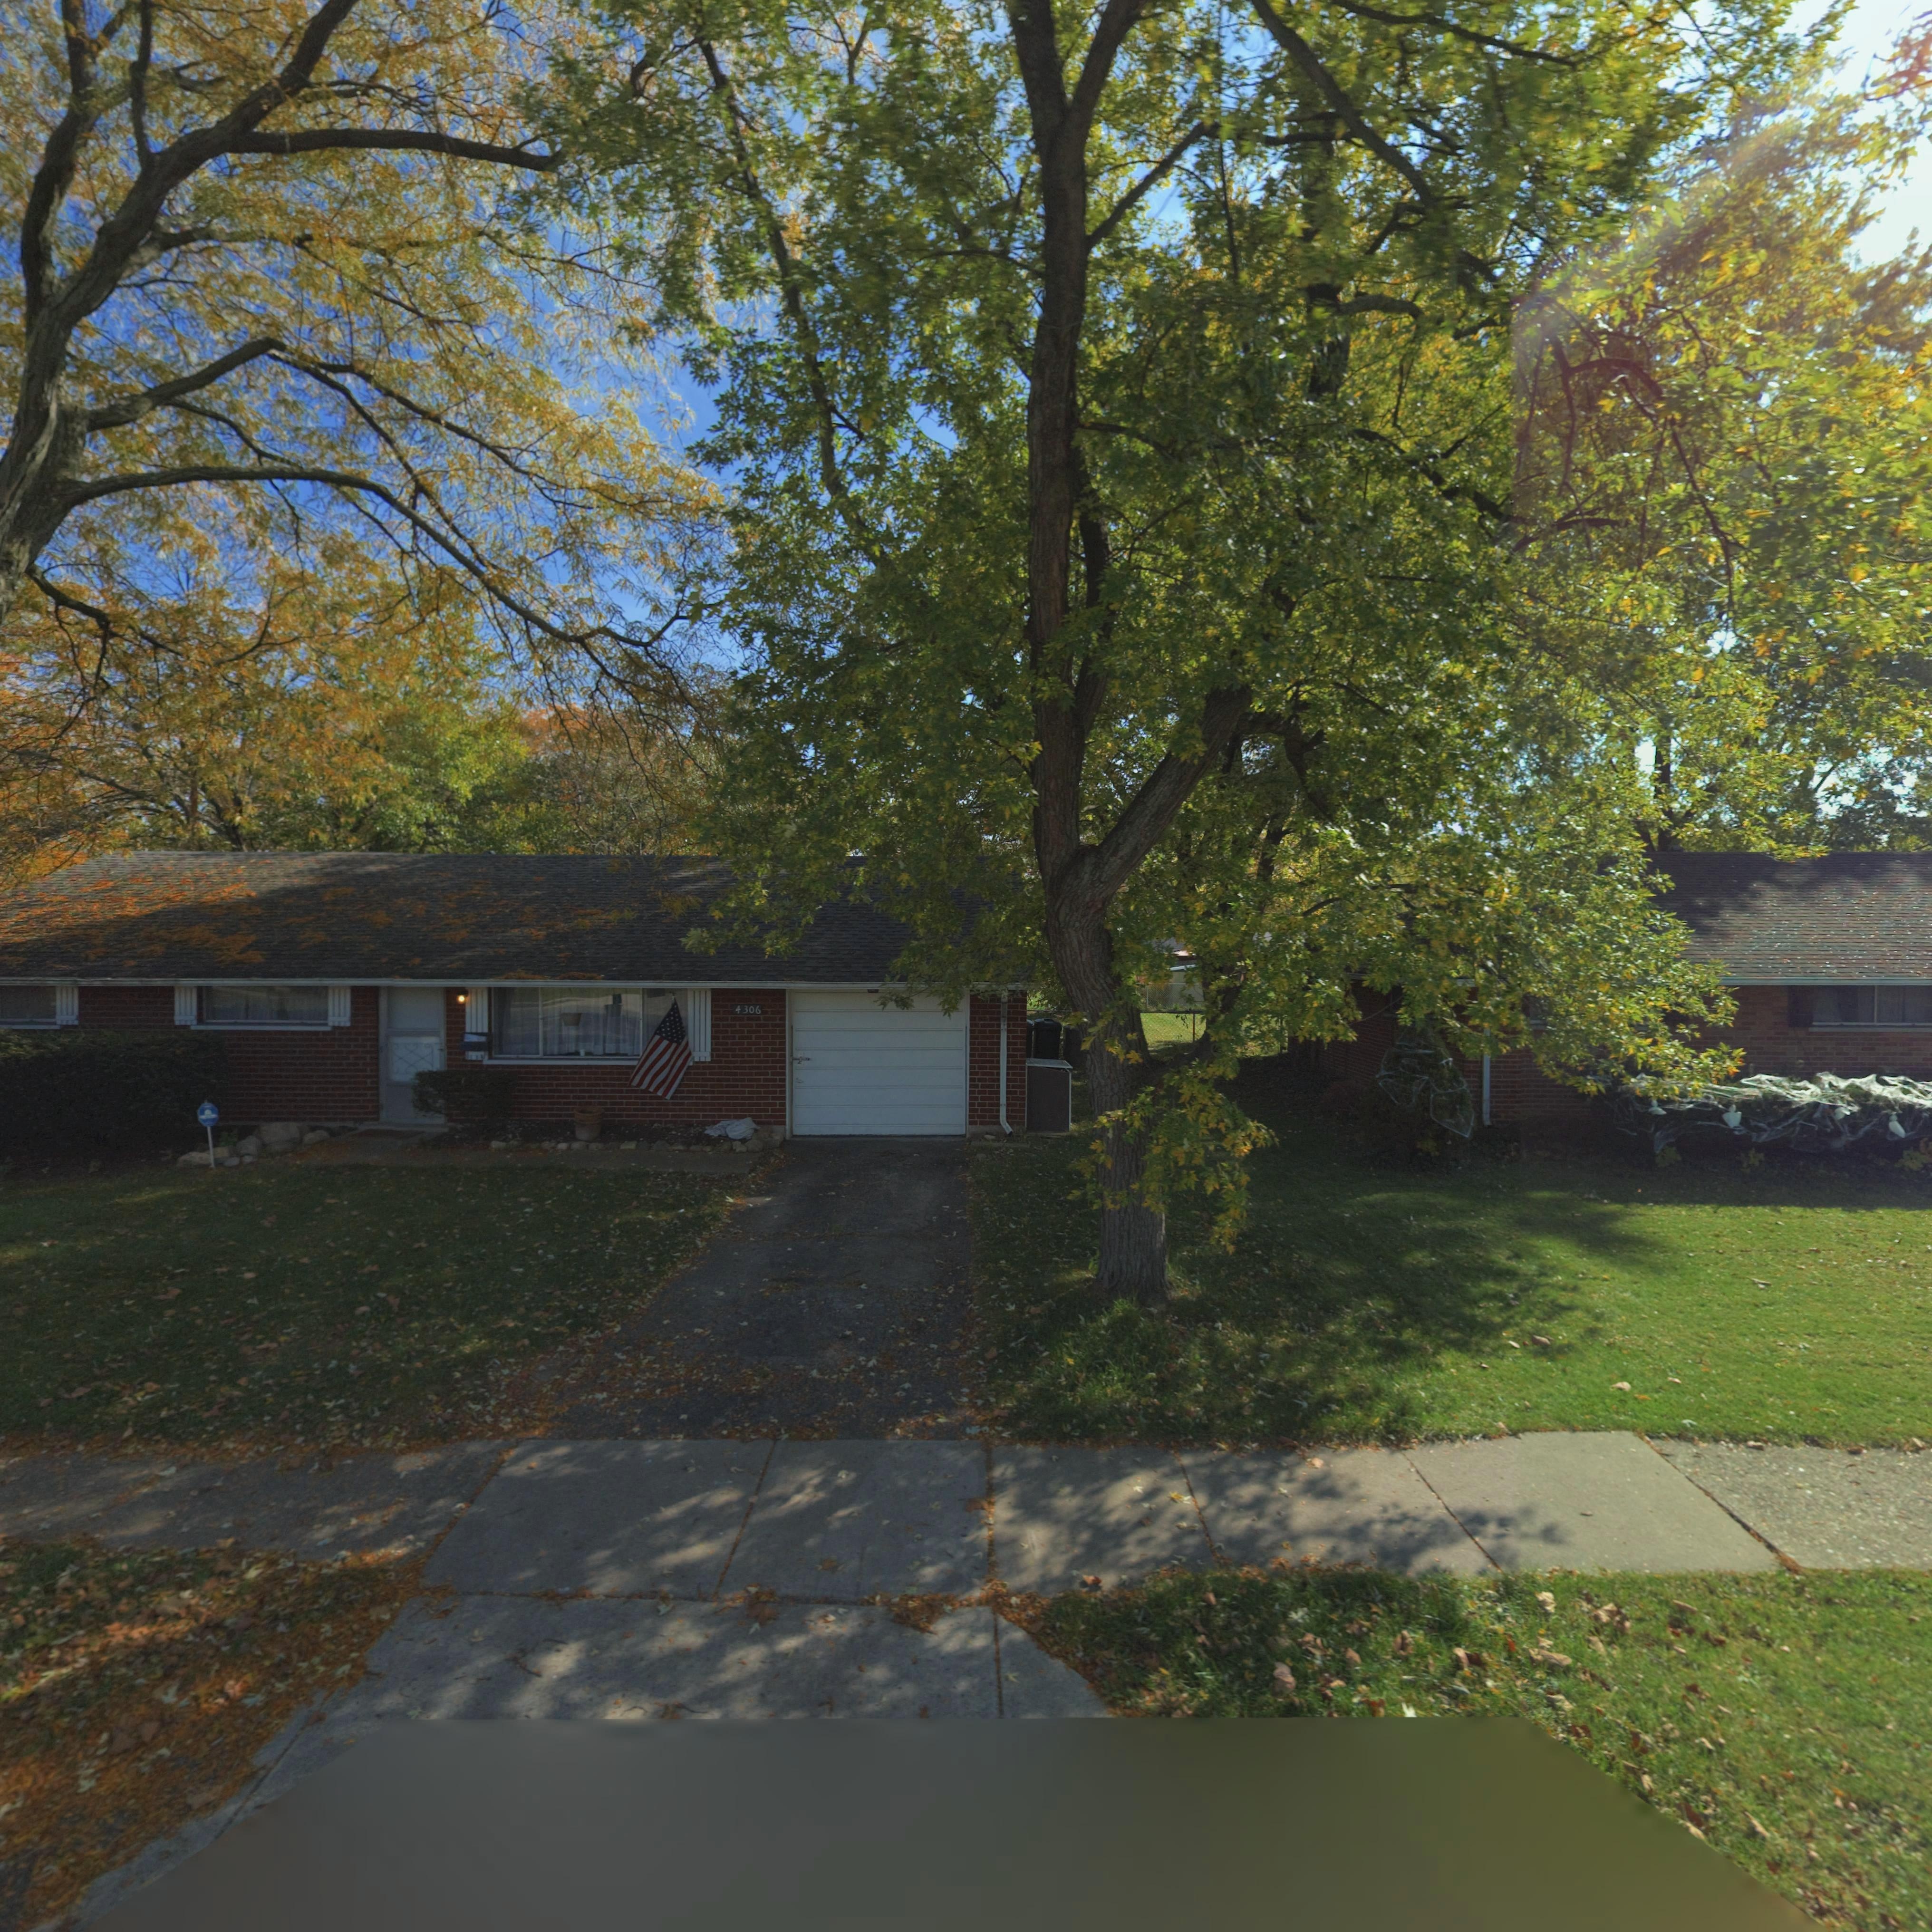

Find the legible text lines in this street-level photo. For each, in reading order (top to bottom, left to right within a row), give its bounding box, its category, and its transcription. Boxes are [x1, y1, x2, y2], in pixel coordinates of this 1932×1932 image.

[733, 1004, 763, 1015] StreetNumber: 4306